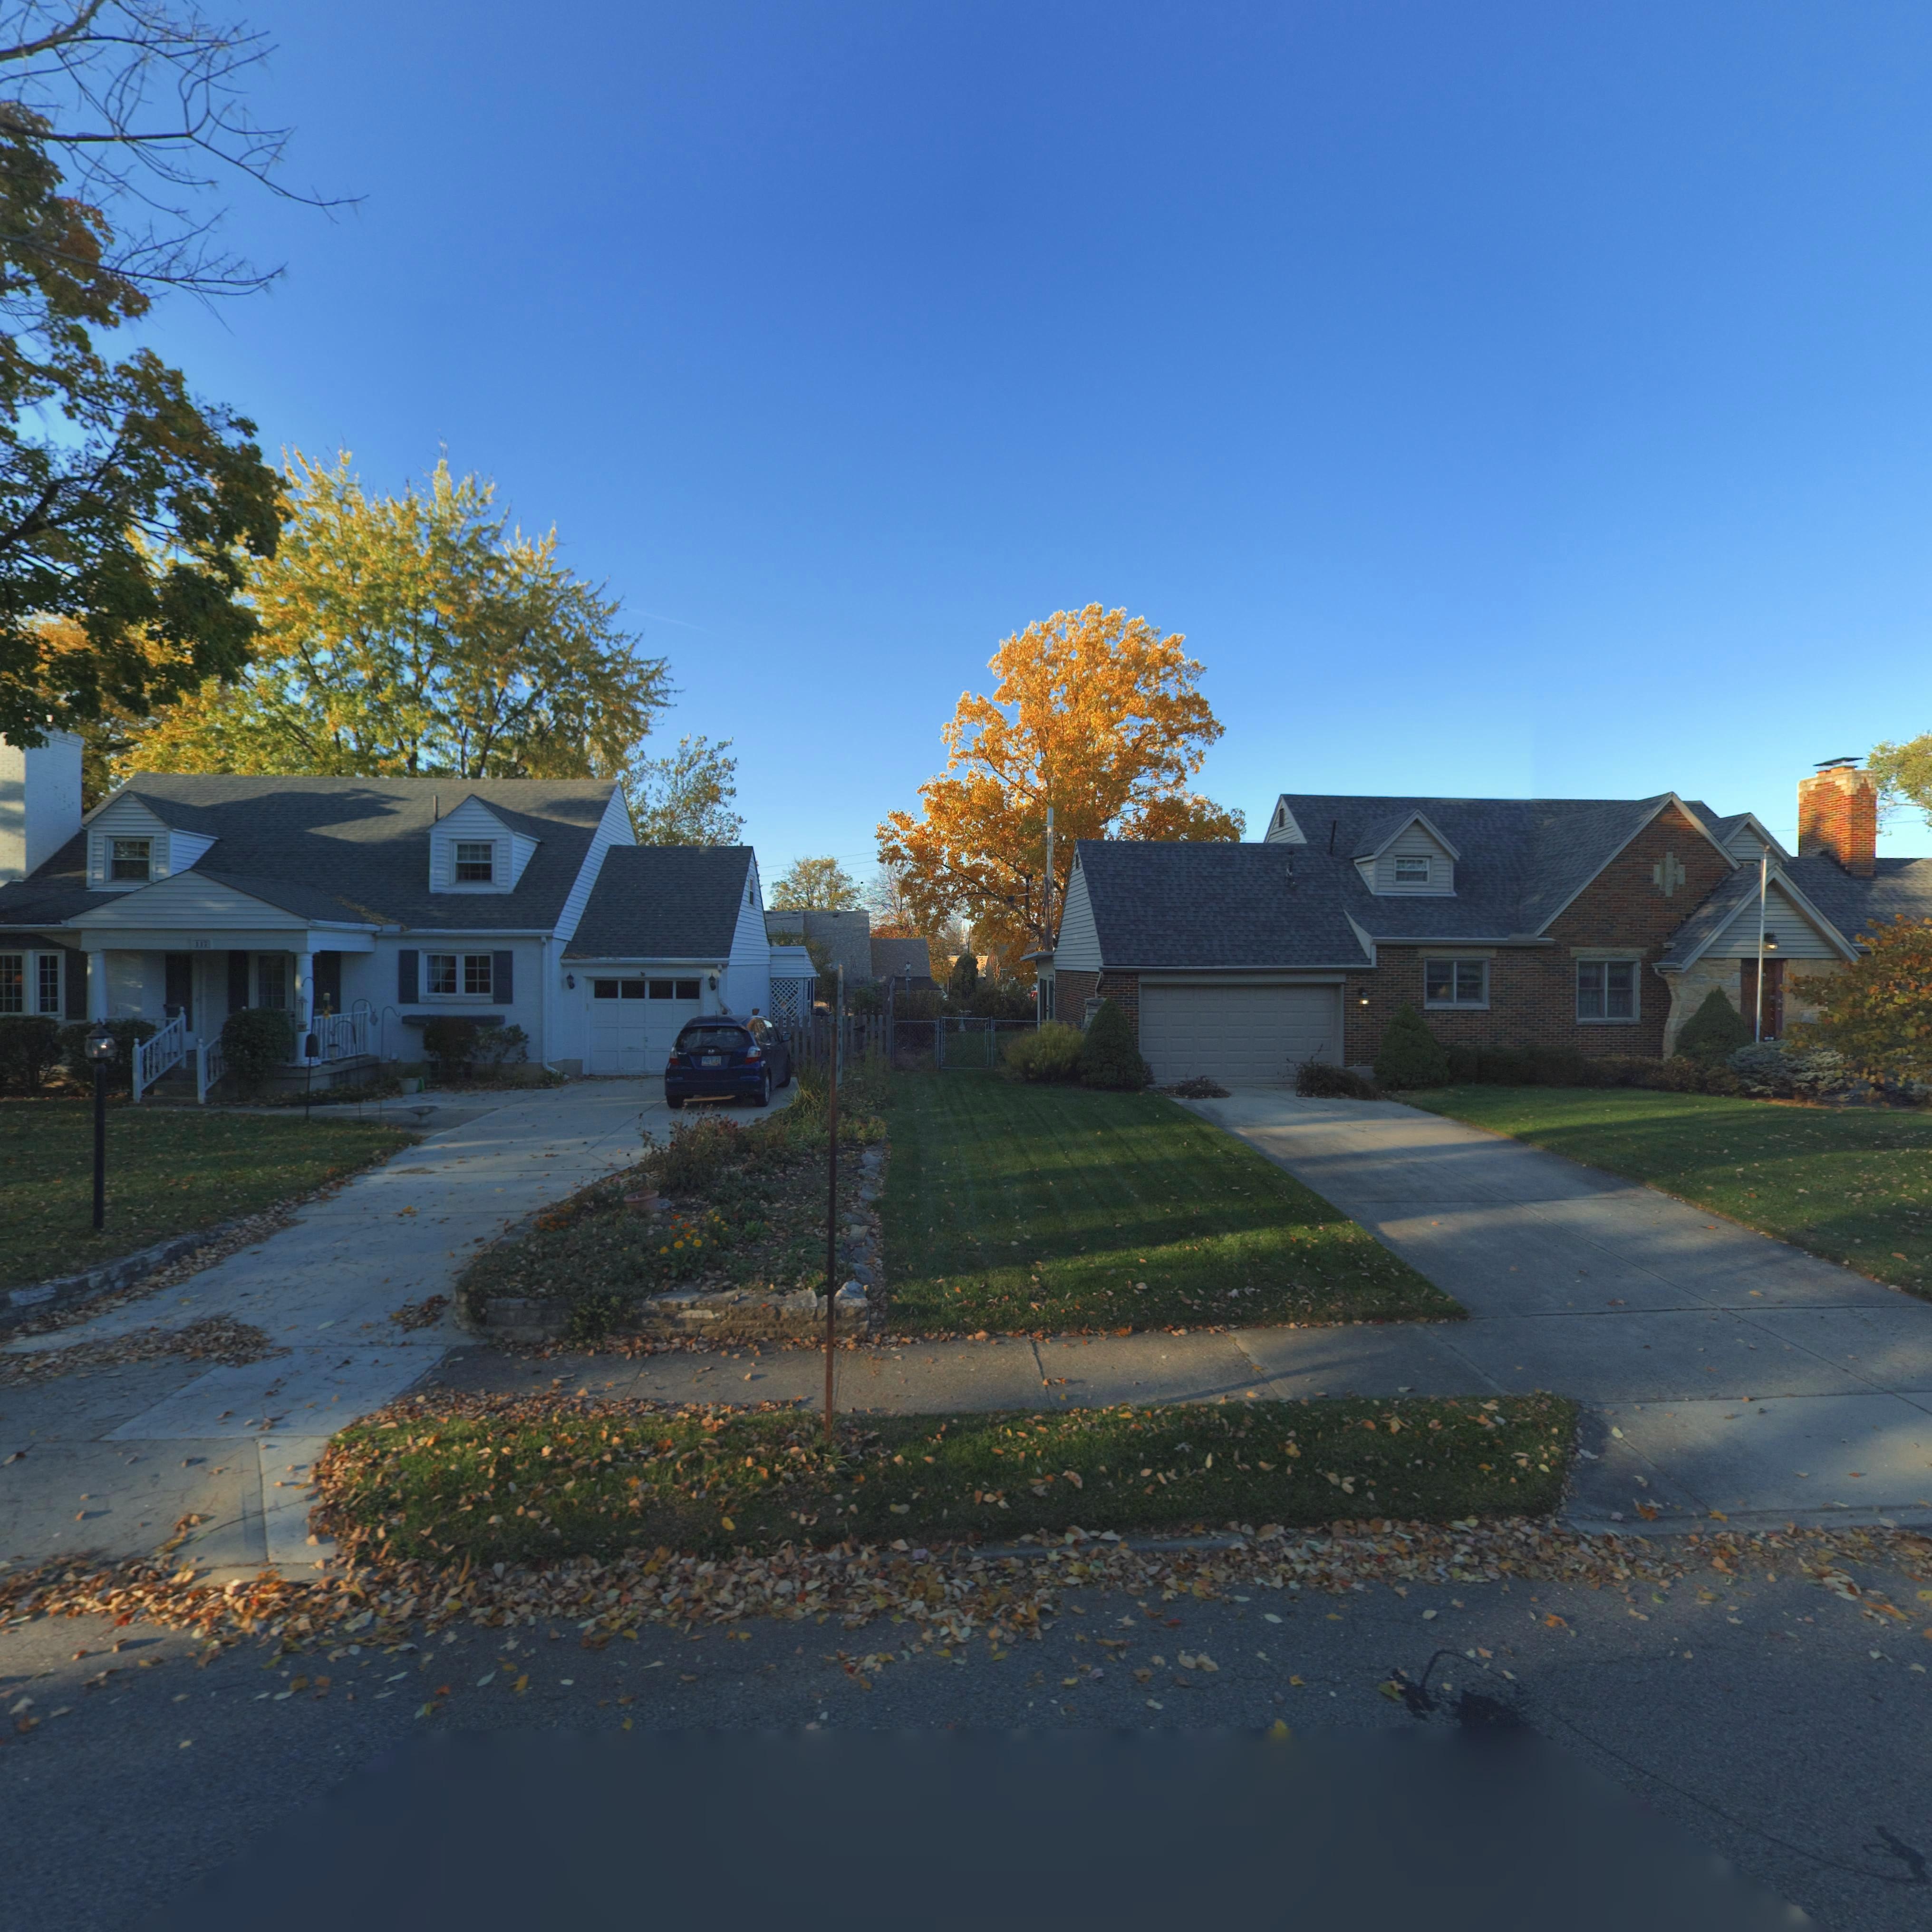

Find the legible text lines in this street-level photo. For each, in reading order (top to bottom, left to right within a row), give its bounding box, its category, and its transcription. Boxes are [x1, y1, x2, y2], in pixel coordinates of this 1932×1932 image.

[194, 940, 209, 948] StreetNumber: 117